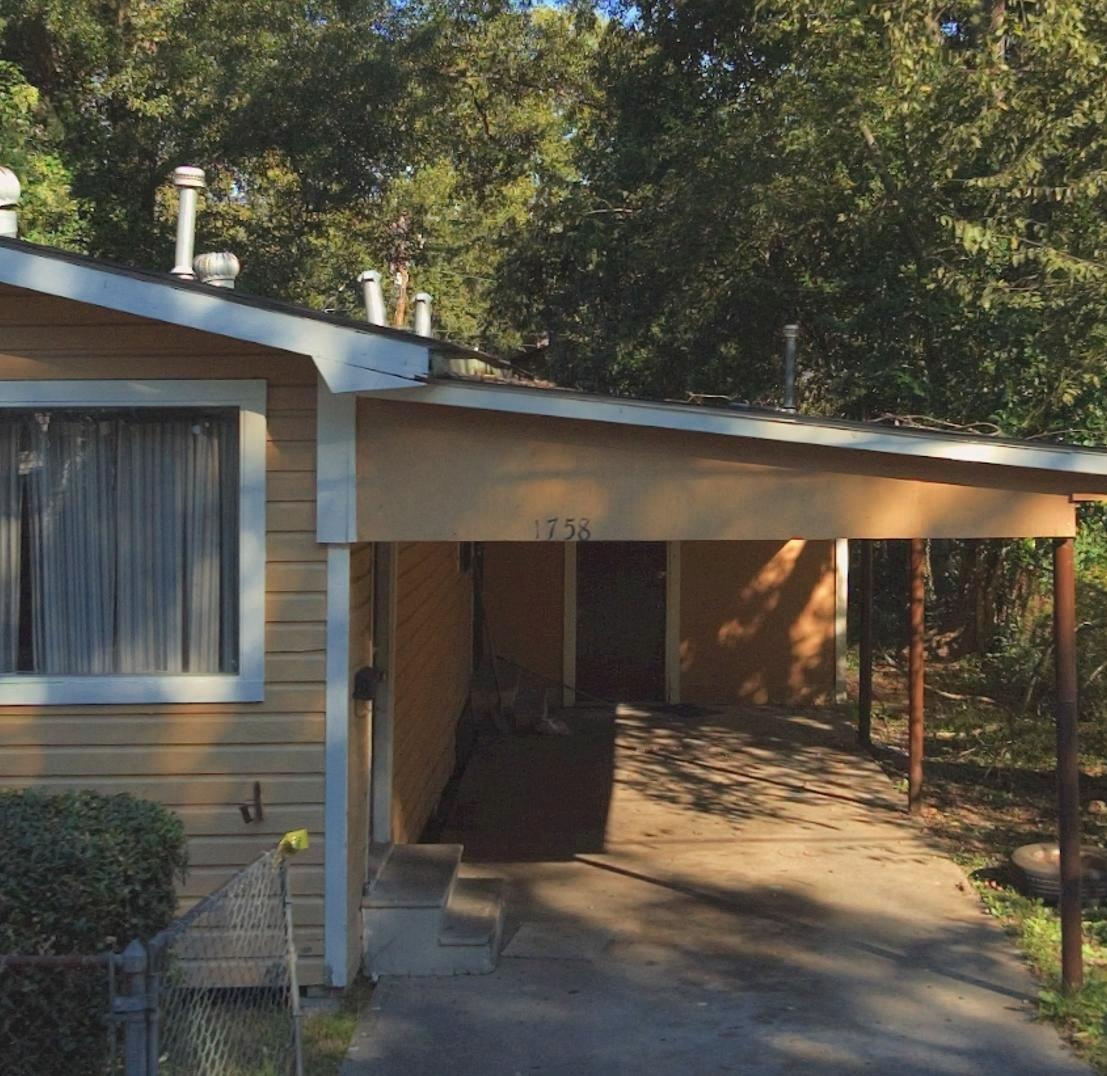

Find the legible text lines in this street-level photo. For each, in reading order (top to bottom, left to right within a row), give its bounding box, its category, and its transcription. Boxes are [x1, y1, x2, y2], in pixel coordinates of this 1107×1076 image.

[534, 515, 593, 542] StreetNumber: 1758